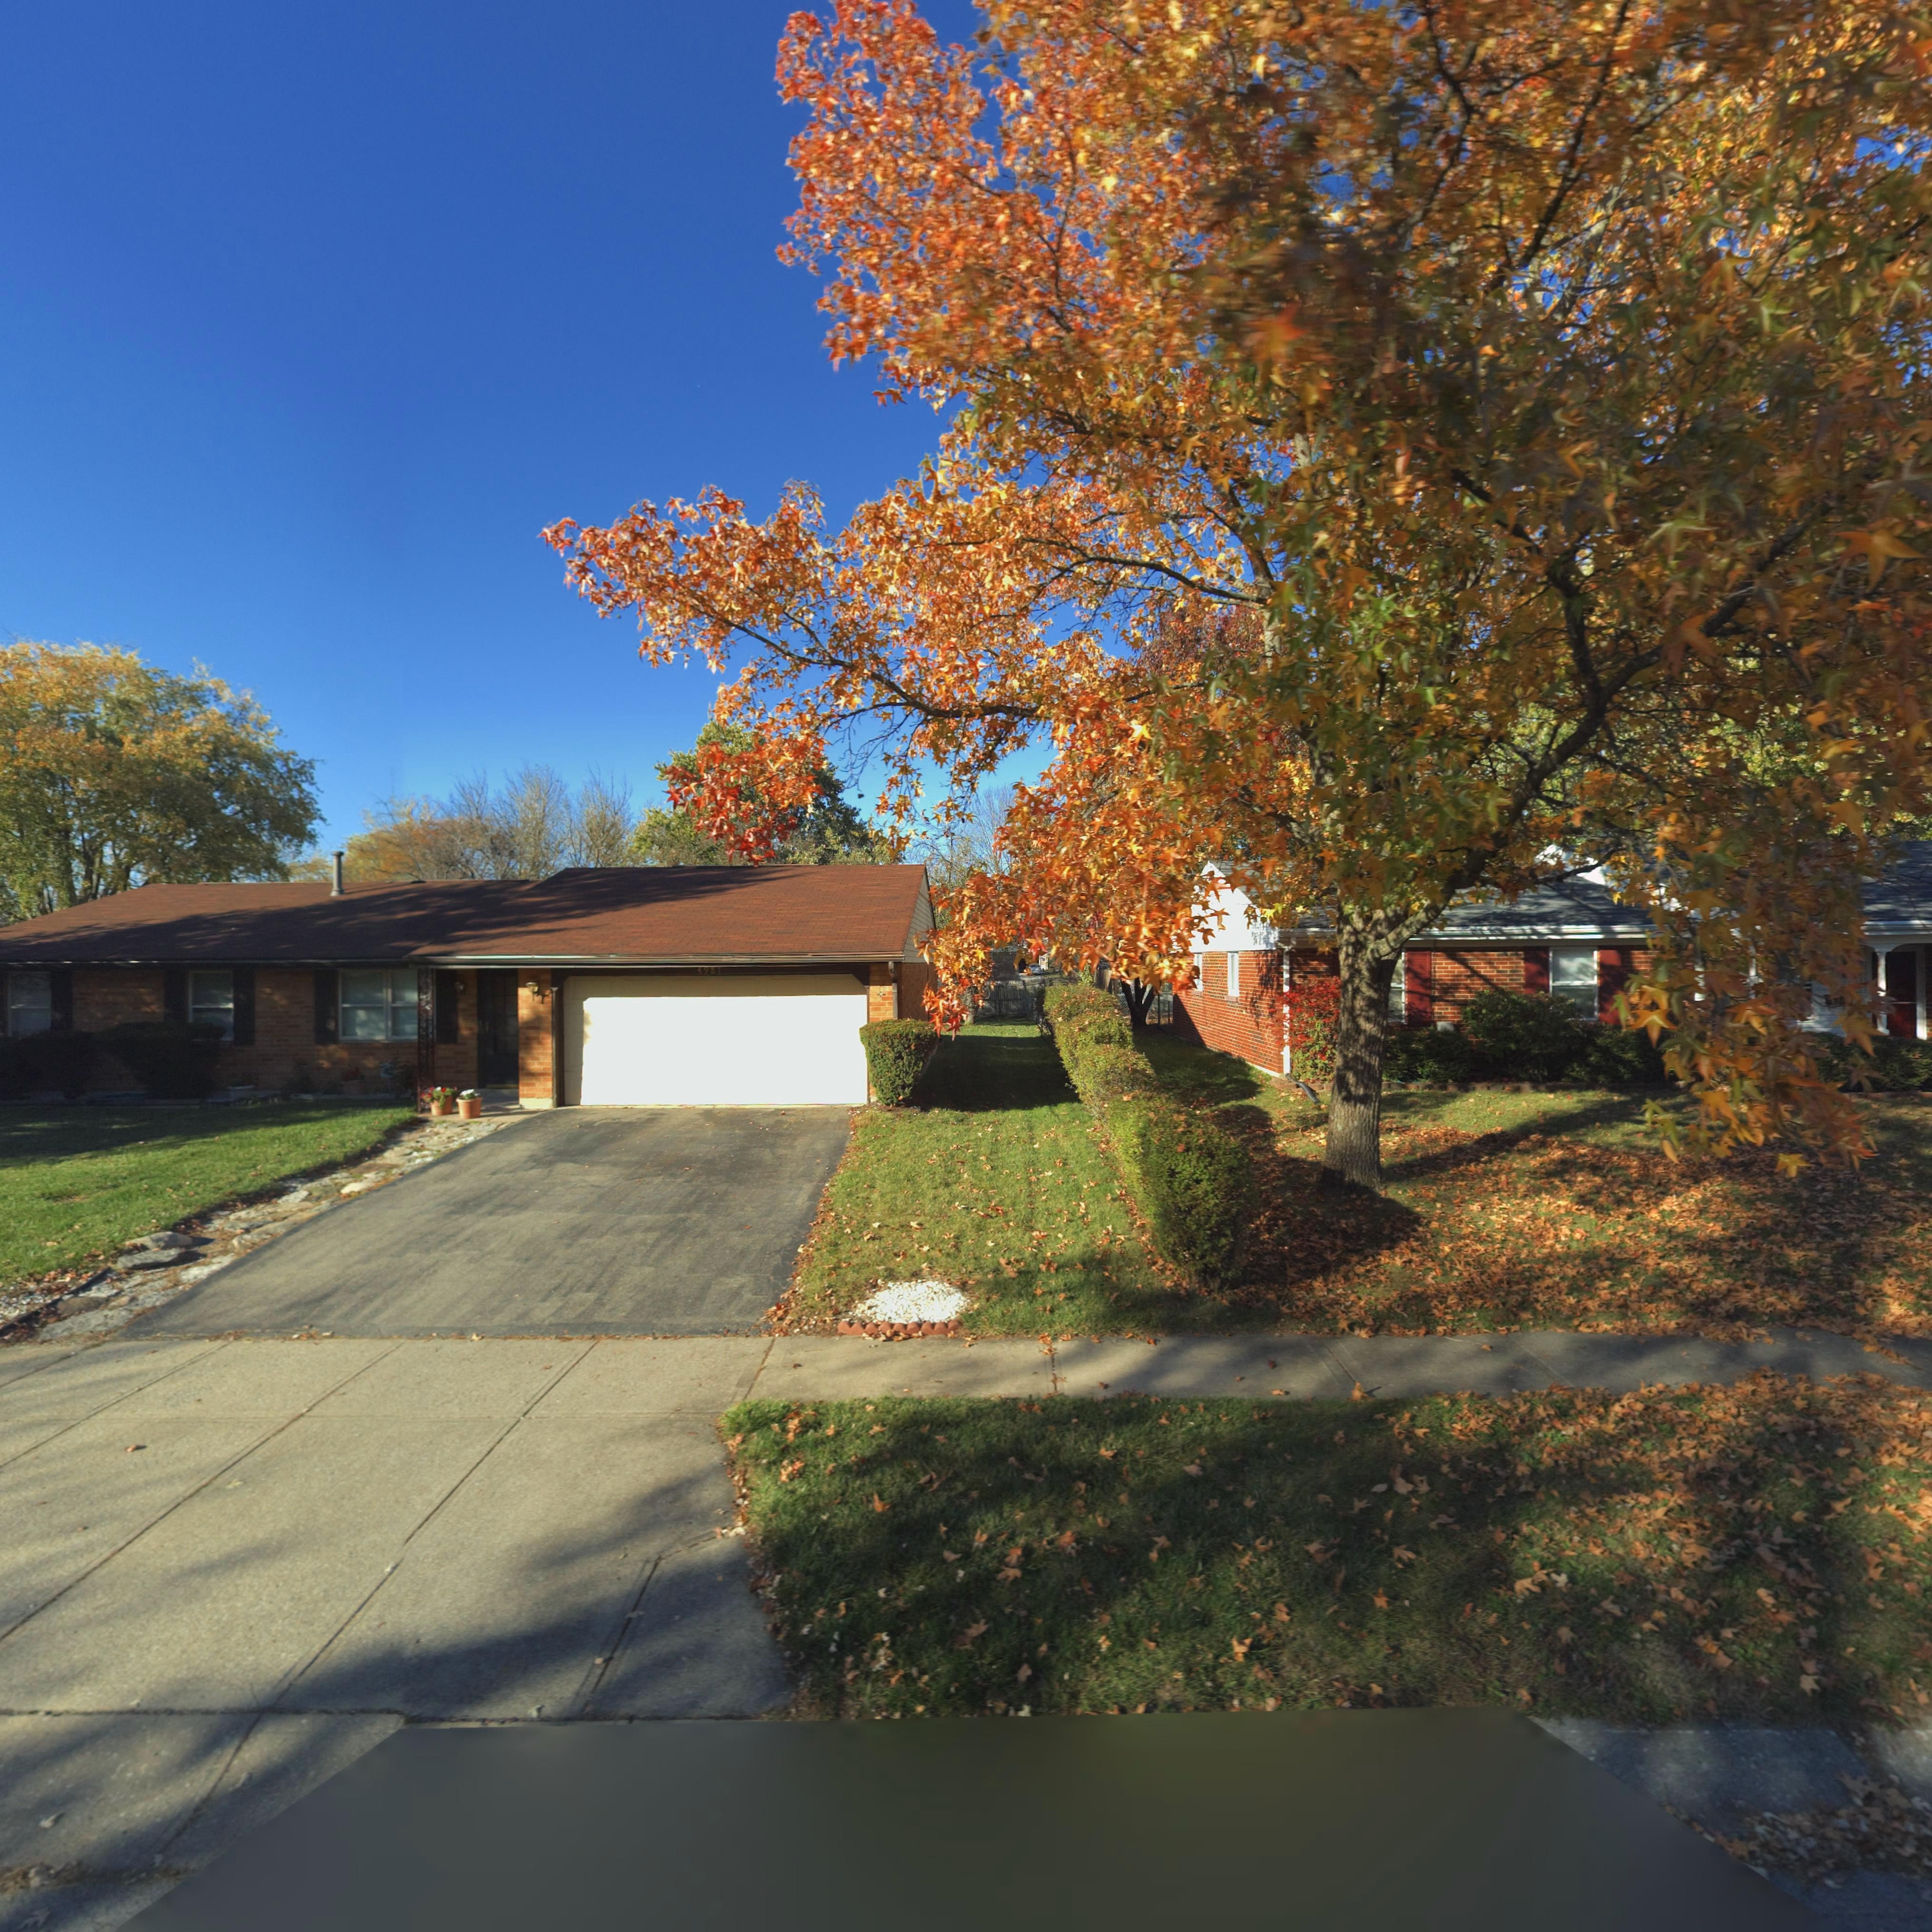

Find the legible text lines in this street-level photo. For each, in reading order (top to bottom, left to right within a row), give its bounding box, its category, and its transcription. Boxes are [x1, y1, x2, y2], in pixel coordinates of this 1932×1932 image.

[697, 966, 721, 974] StreetNumber: 4981